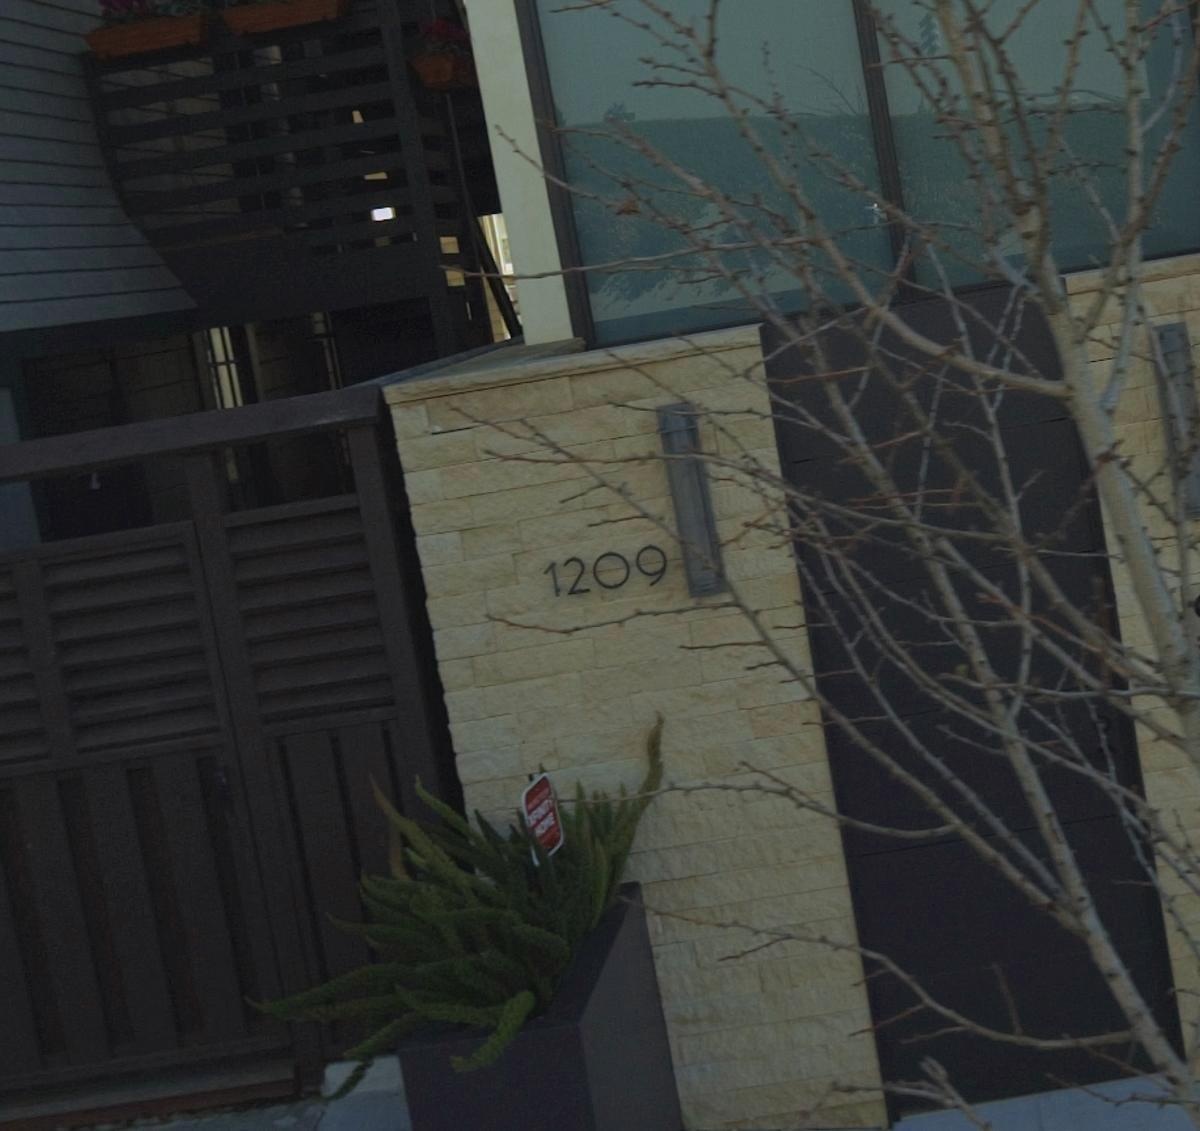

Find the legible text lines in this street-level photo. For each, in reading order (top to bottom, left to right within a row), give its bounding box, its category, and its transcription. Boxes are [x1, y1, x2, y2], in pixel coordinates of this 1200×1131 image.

[541, 540, 671, 601] StreetNumber: 1209